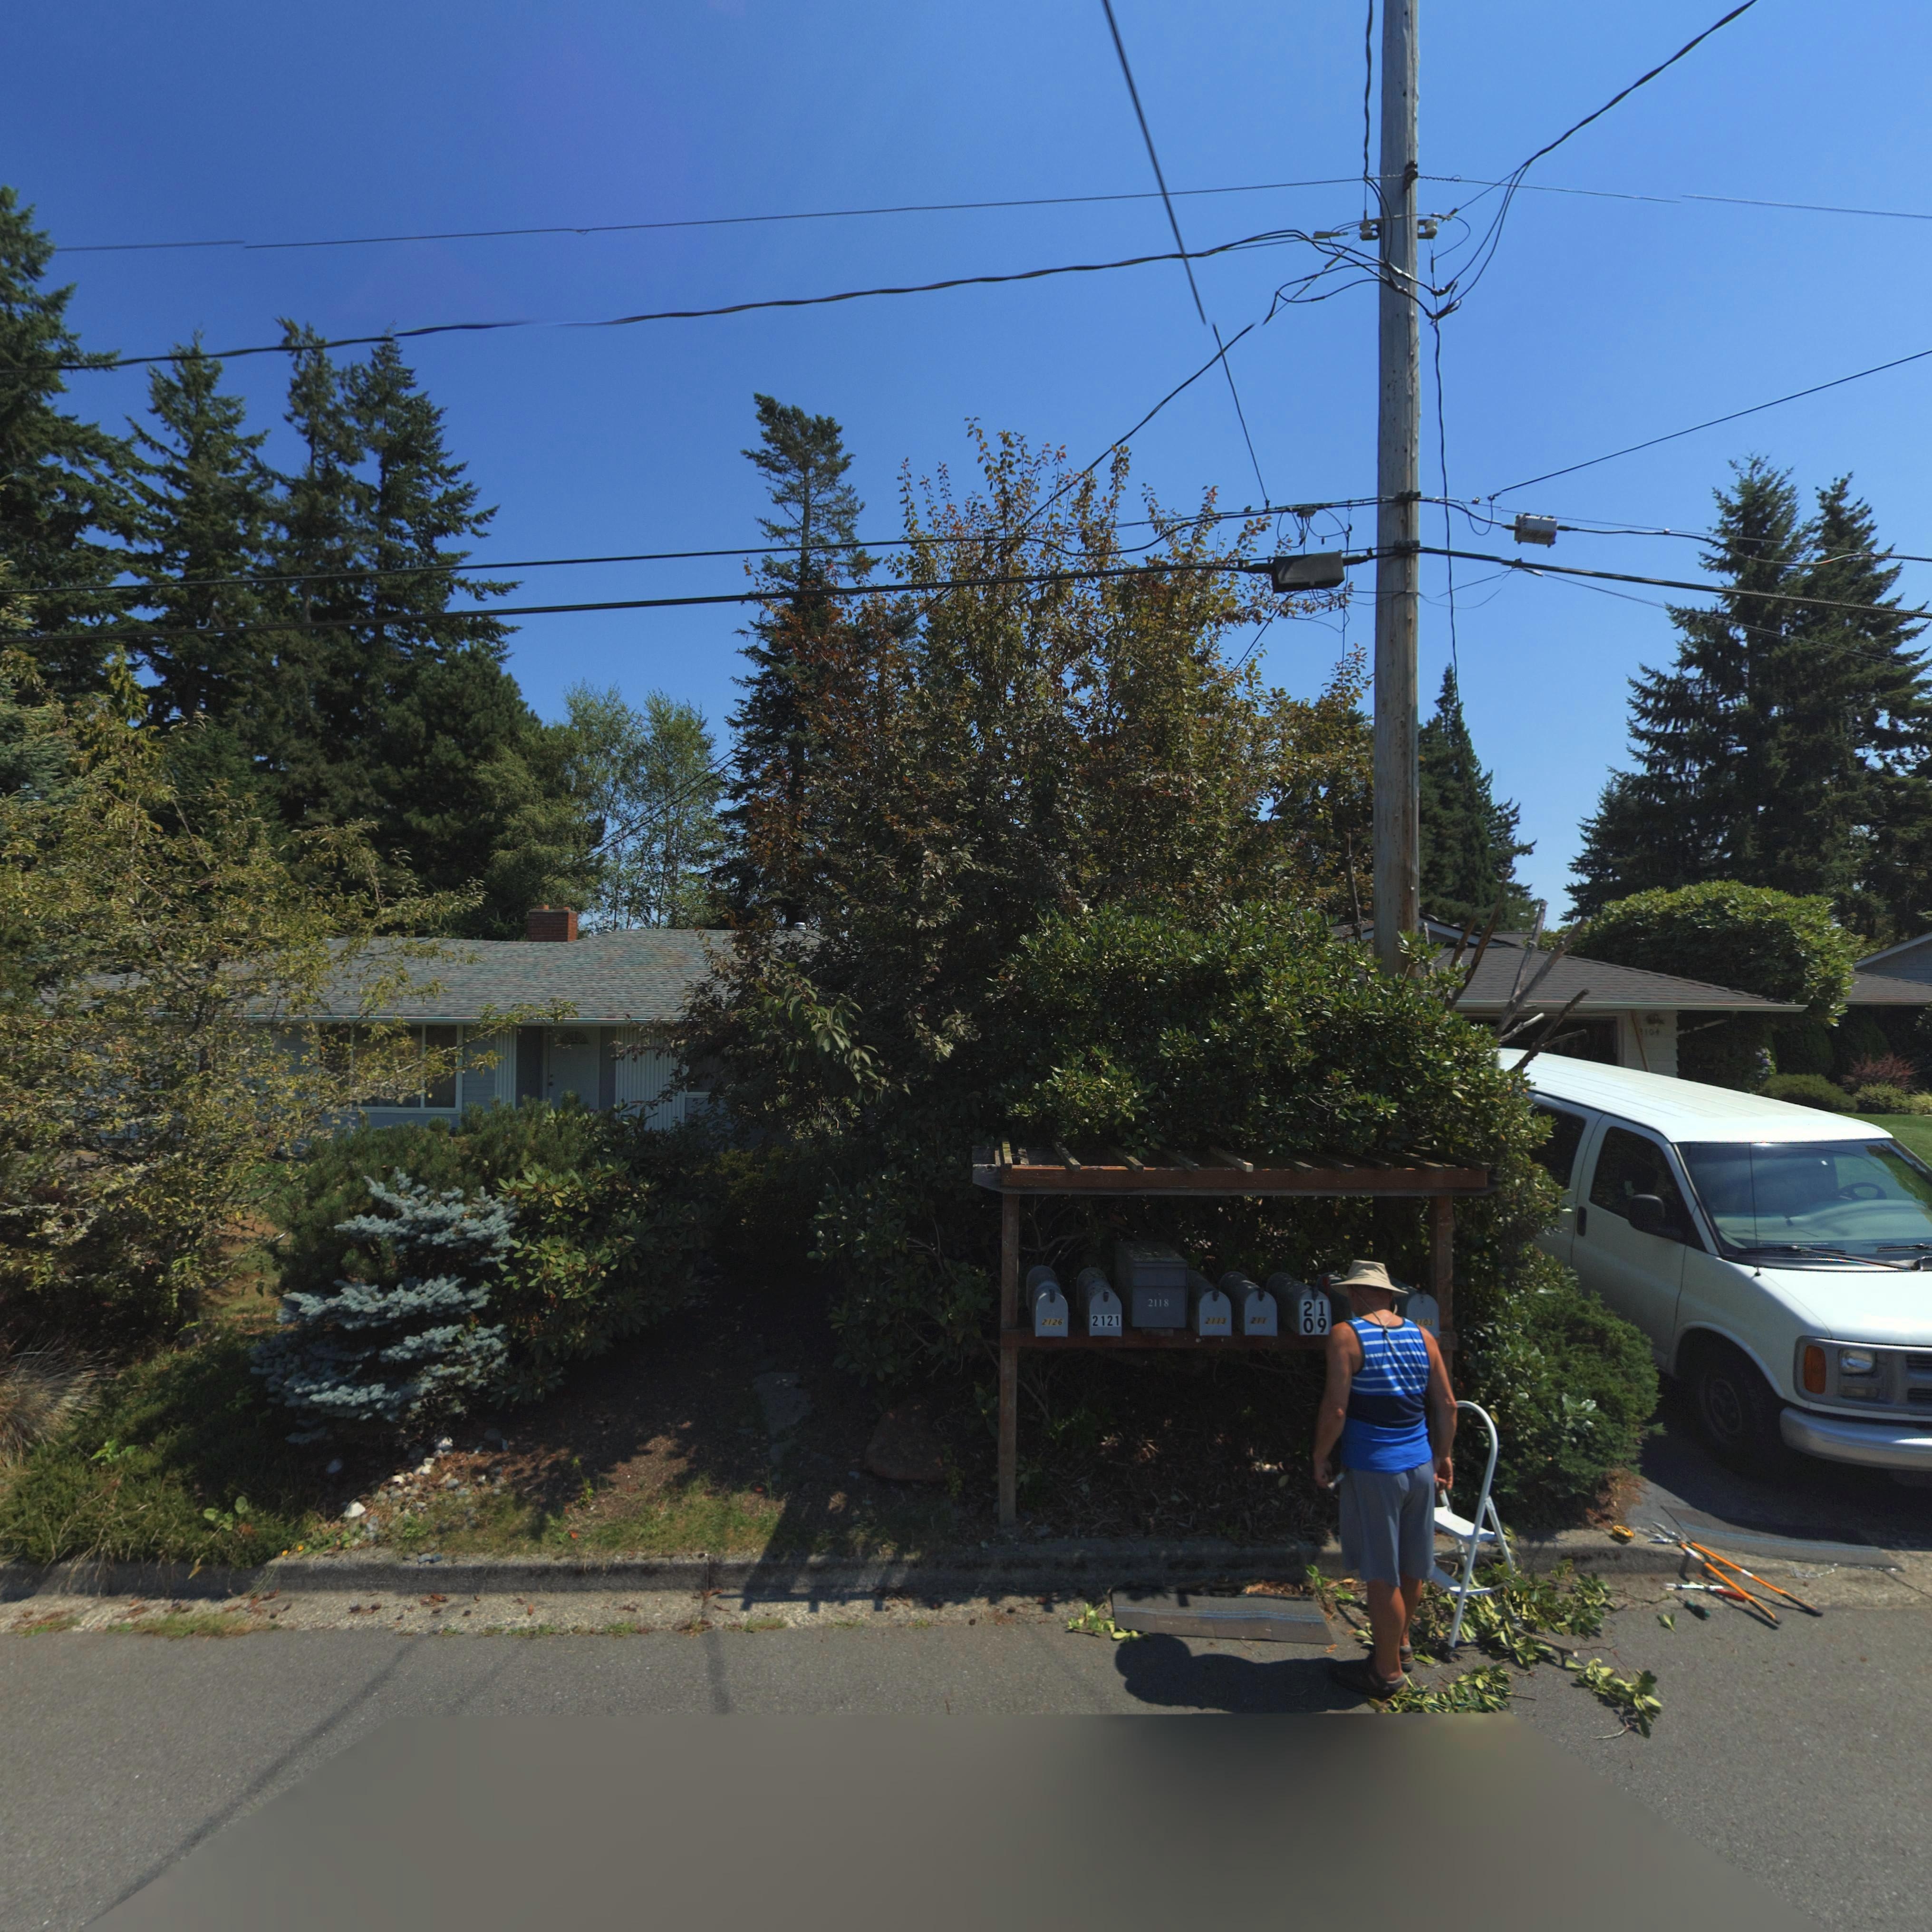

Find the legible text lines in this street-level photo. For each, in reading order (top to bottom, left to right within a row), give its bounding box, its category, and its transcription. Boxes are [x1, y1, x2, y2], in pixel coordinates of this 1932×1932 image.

[1146, 1298, 1169, 1308] StreetNumber: 2118
[1303, 1301, 1326, 1317] StreetNumber: 21
[1042, 1318, 1063, 1326] StreetNumber: 2126
[1091, 1315, 1120, 1326] StreetNumber: 2121
[1205, 1317, 1226, 1324] StreetNumber: 2113
[1250, 1316, 1267, 1323] StreetNumber: 211
[1302, 1317, 1327, 1333] StreetNumber: 09